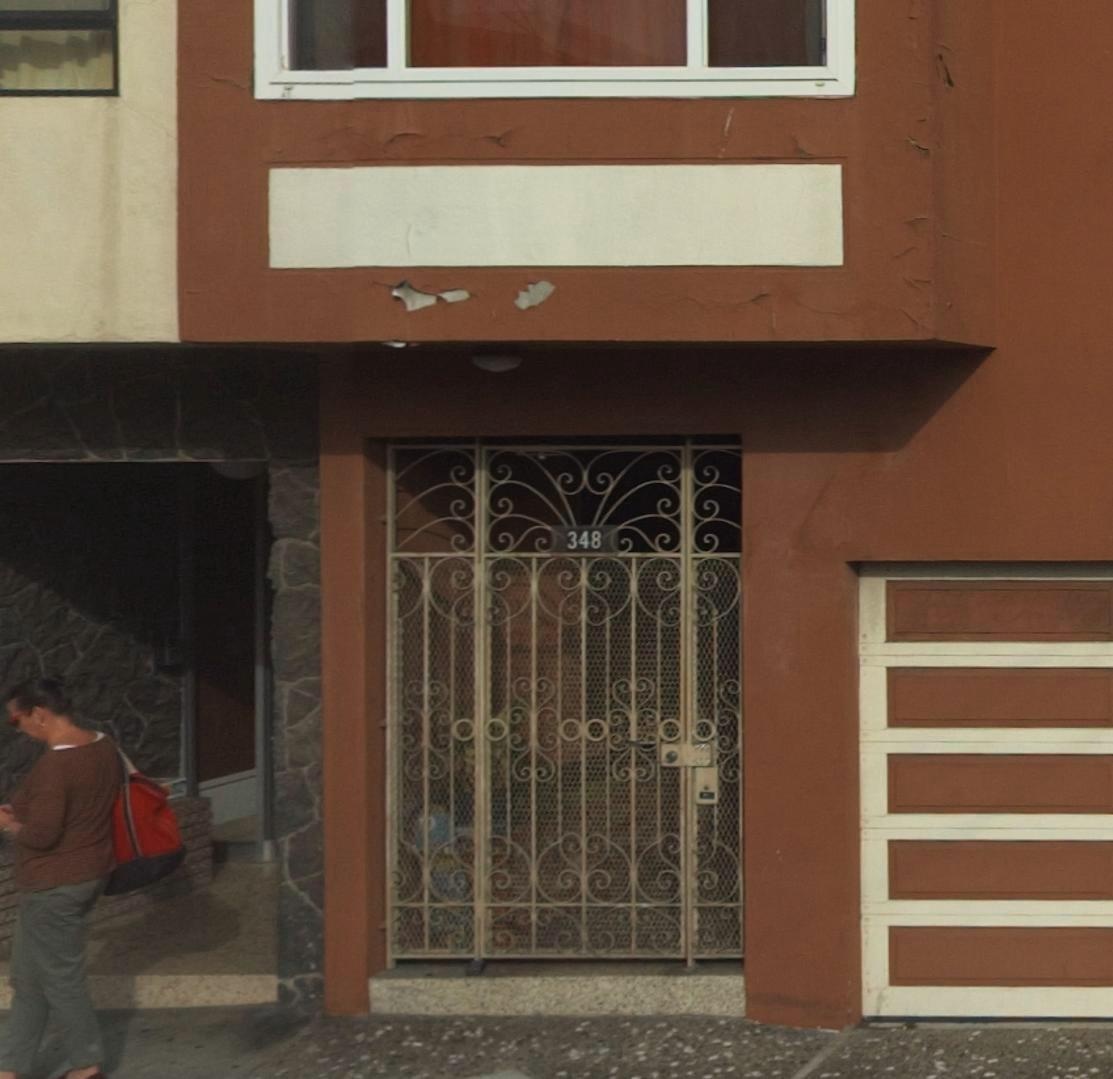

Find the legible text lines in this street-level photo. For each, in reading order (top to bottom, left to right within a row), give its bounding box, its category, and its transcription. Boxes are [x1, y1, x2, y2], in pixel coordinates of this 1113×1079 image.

[566, 530, 603, 550] StreetNumber: 348